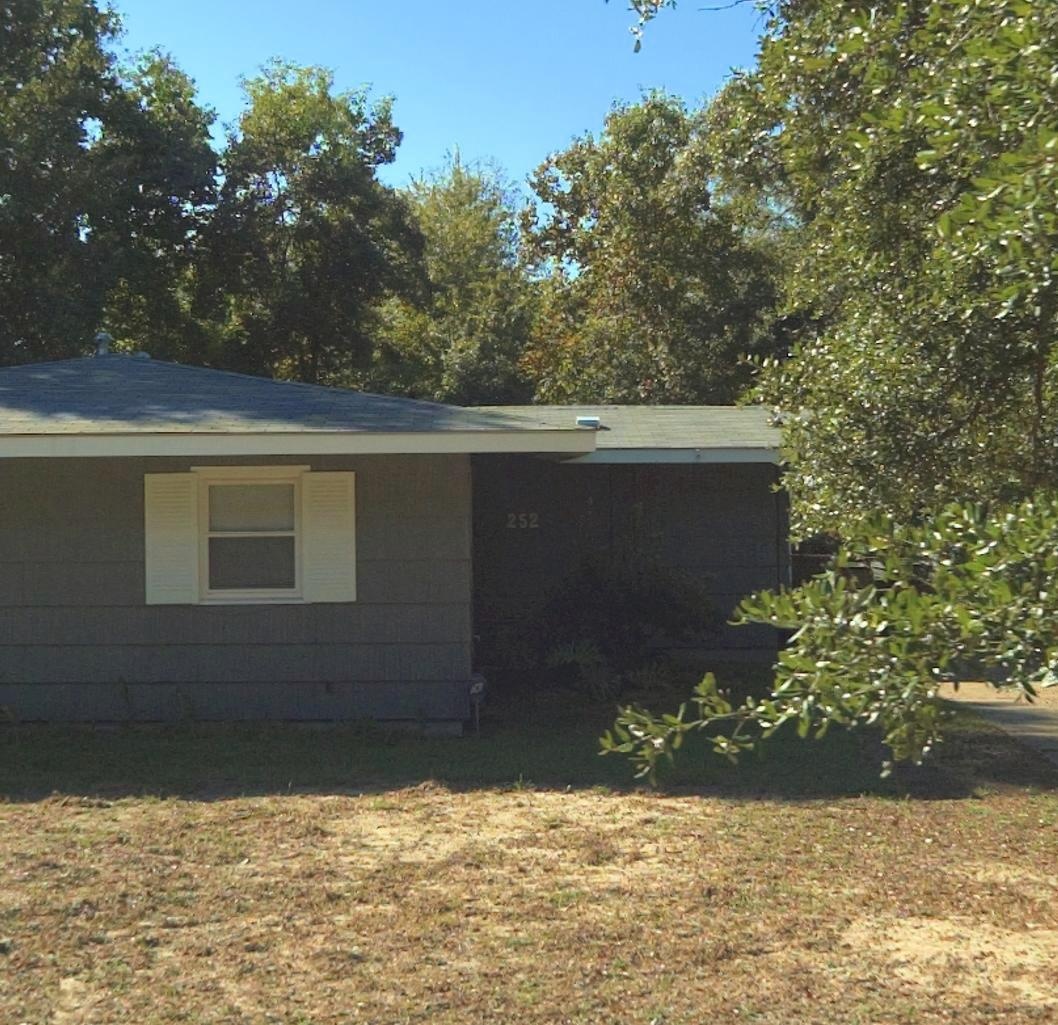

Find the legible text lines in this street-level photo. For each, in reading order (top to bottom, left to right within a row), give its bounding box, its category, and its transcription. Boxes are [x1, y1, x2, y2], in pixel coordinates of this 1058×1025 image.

[505, 511, 540, 530] StreetNumber: 252
[469, 681, 484, 696] None: ADT